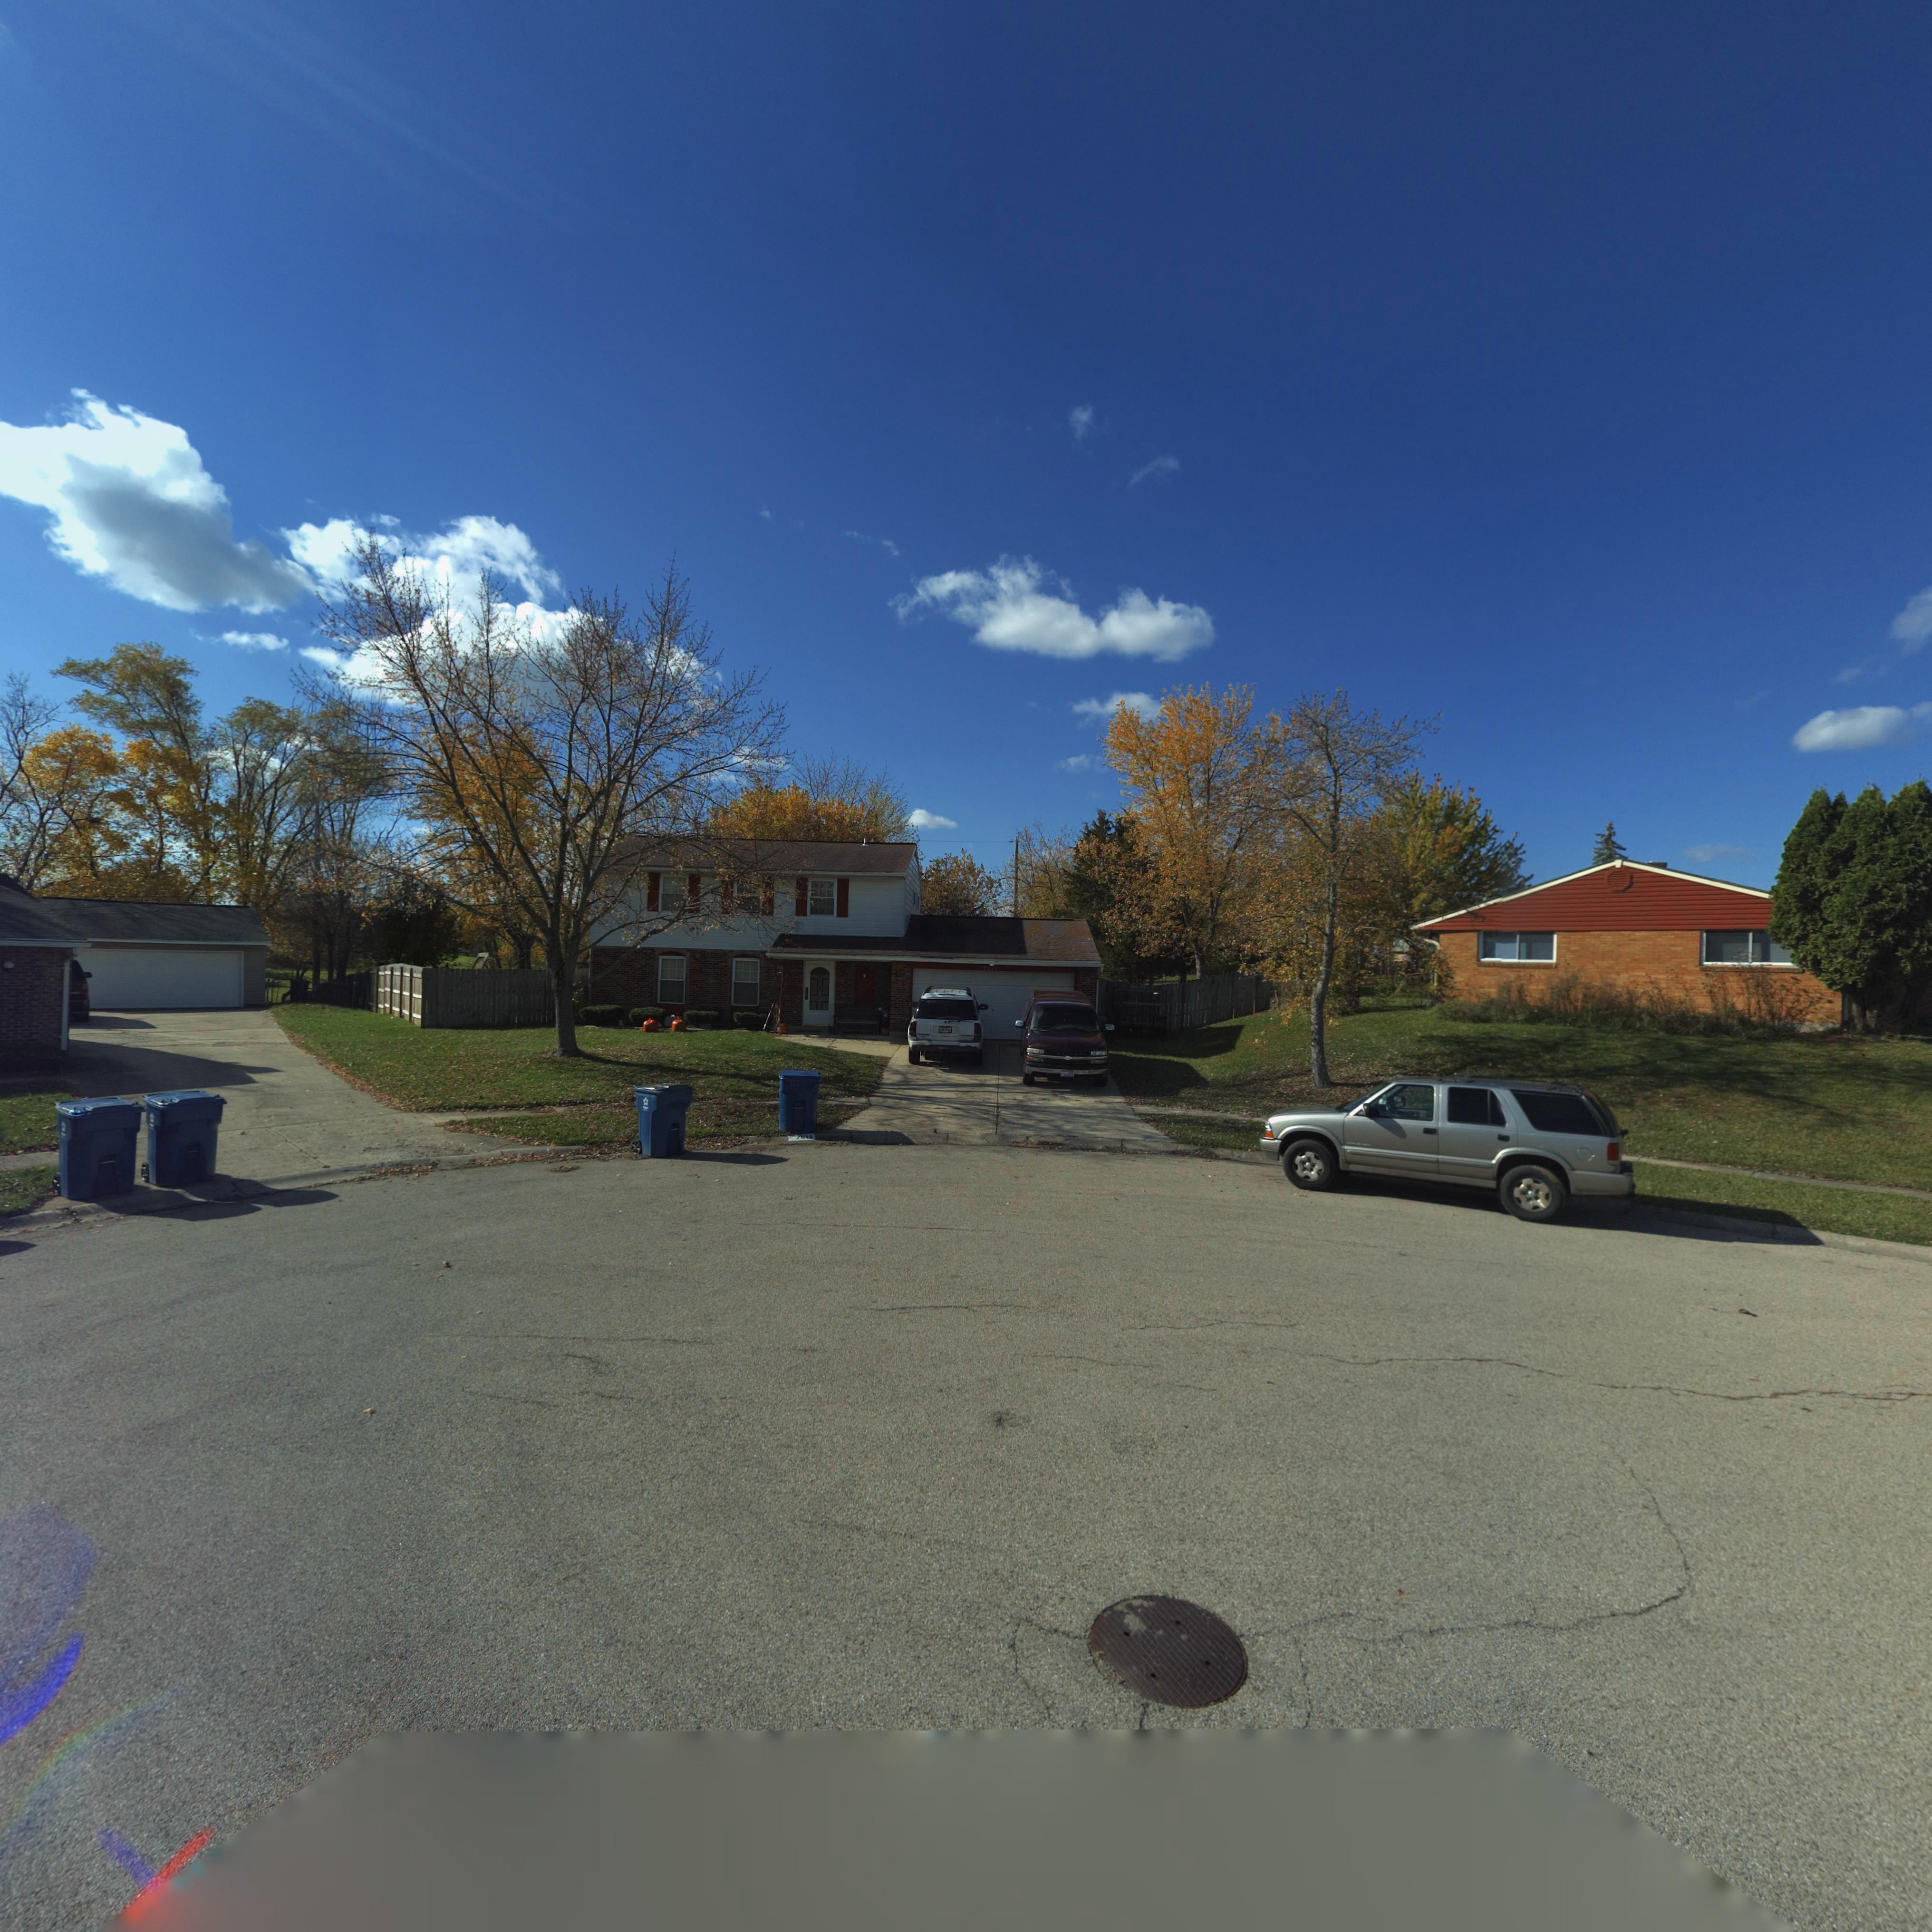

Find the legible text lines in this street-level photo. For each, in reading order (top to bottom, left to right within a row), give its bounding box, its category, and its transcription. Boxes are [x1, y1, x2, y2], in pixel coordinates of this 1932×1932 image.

[982, 966, 997, 972] StreetNumber: 7***
[795, 1133, 813, 1140] StreetNumber: 76**